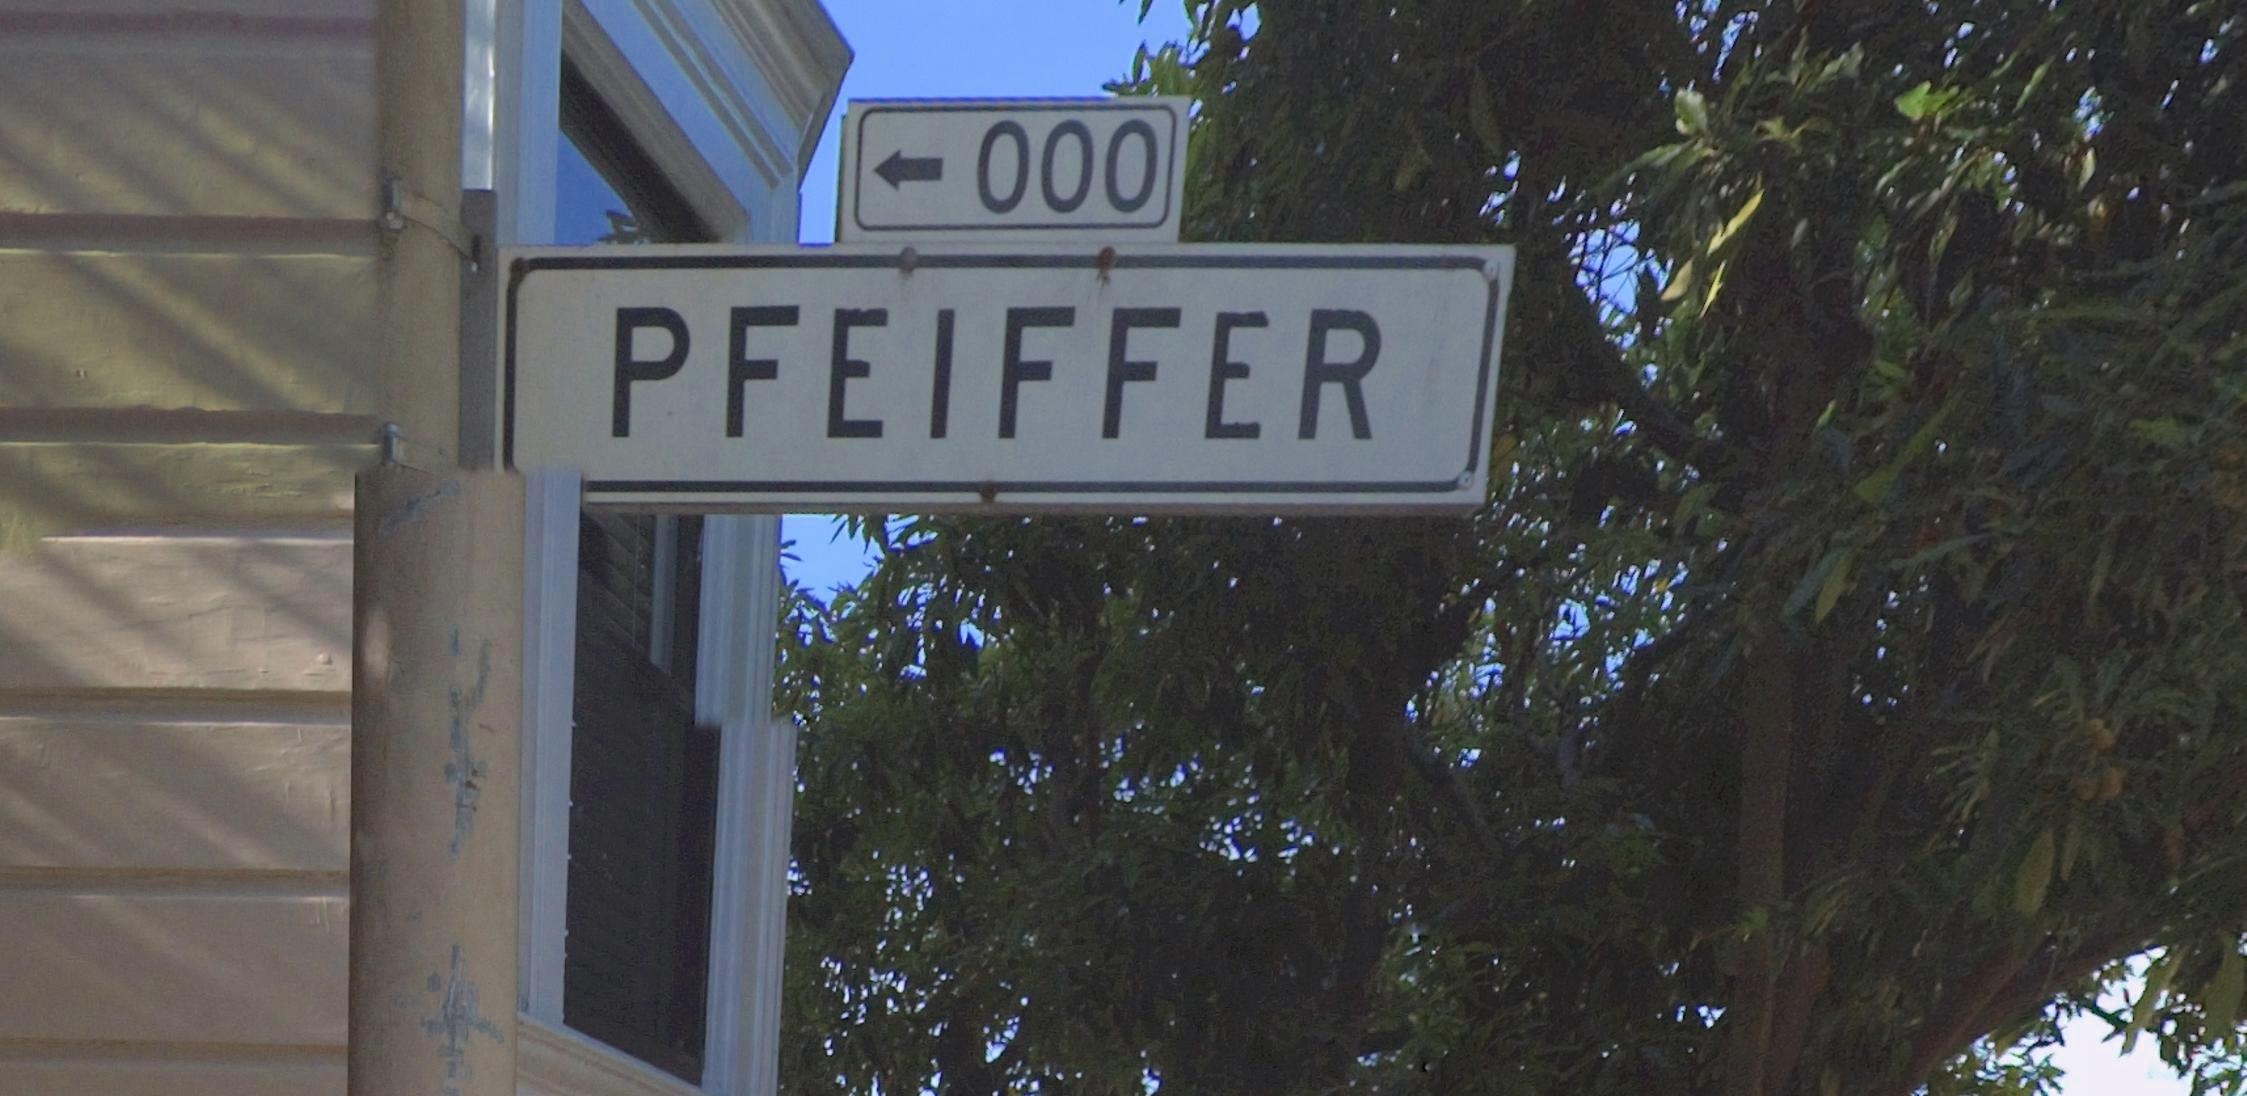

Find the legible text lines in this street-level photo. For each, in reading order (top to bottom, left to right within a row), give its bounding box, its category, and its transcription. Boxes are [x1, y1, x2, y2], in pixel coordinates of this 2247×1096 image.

[867, 112, 1164, 221] StreetNumberRange: <-000
[604, 298, 1394, 449] StreetName: PFEIFFER